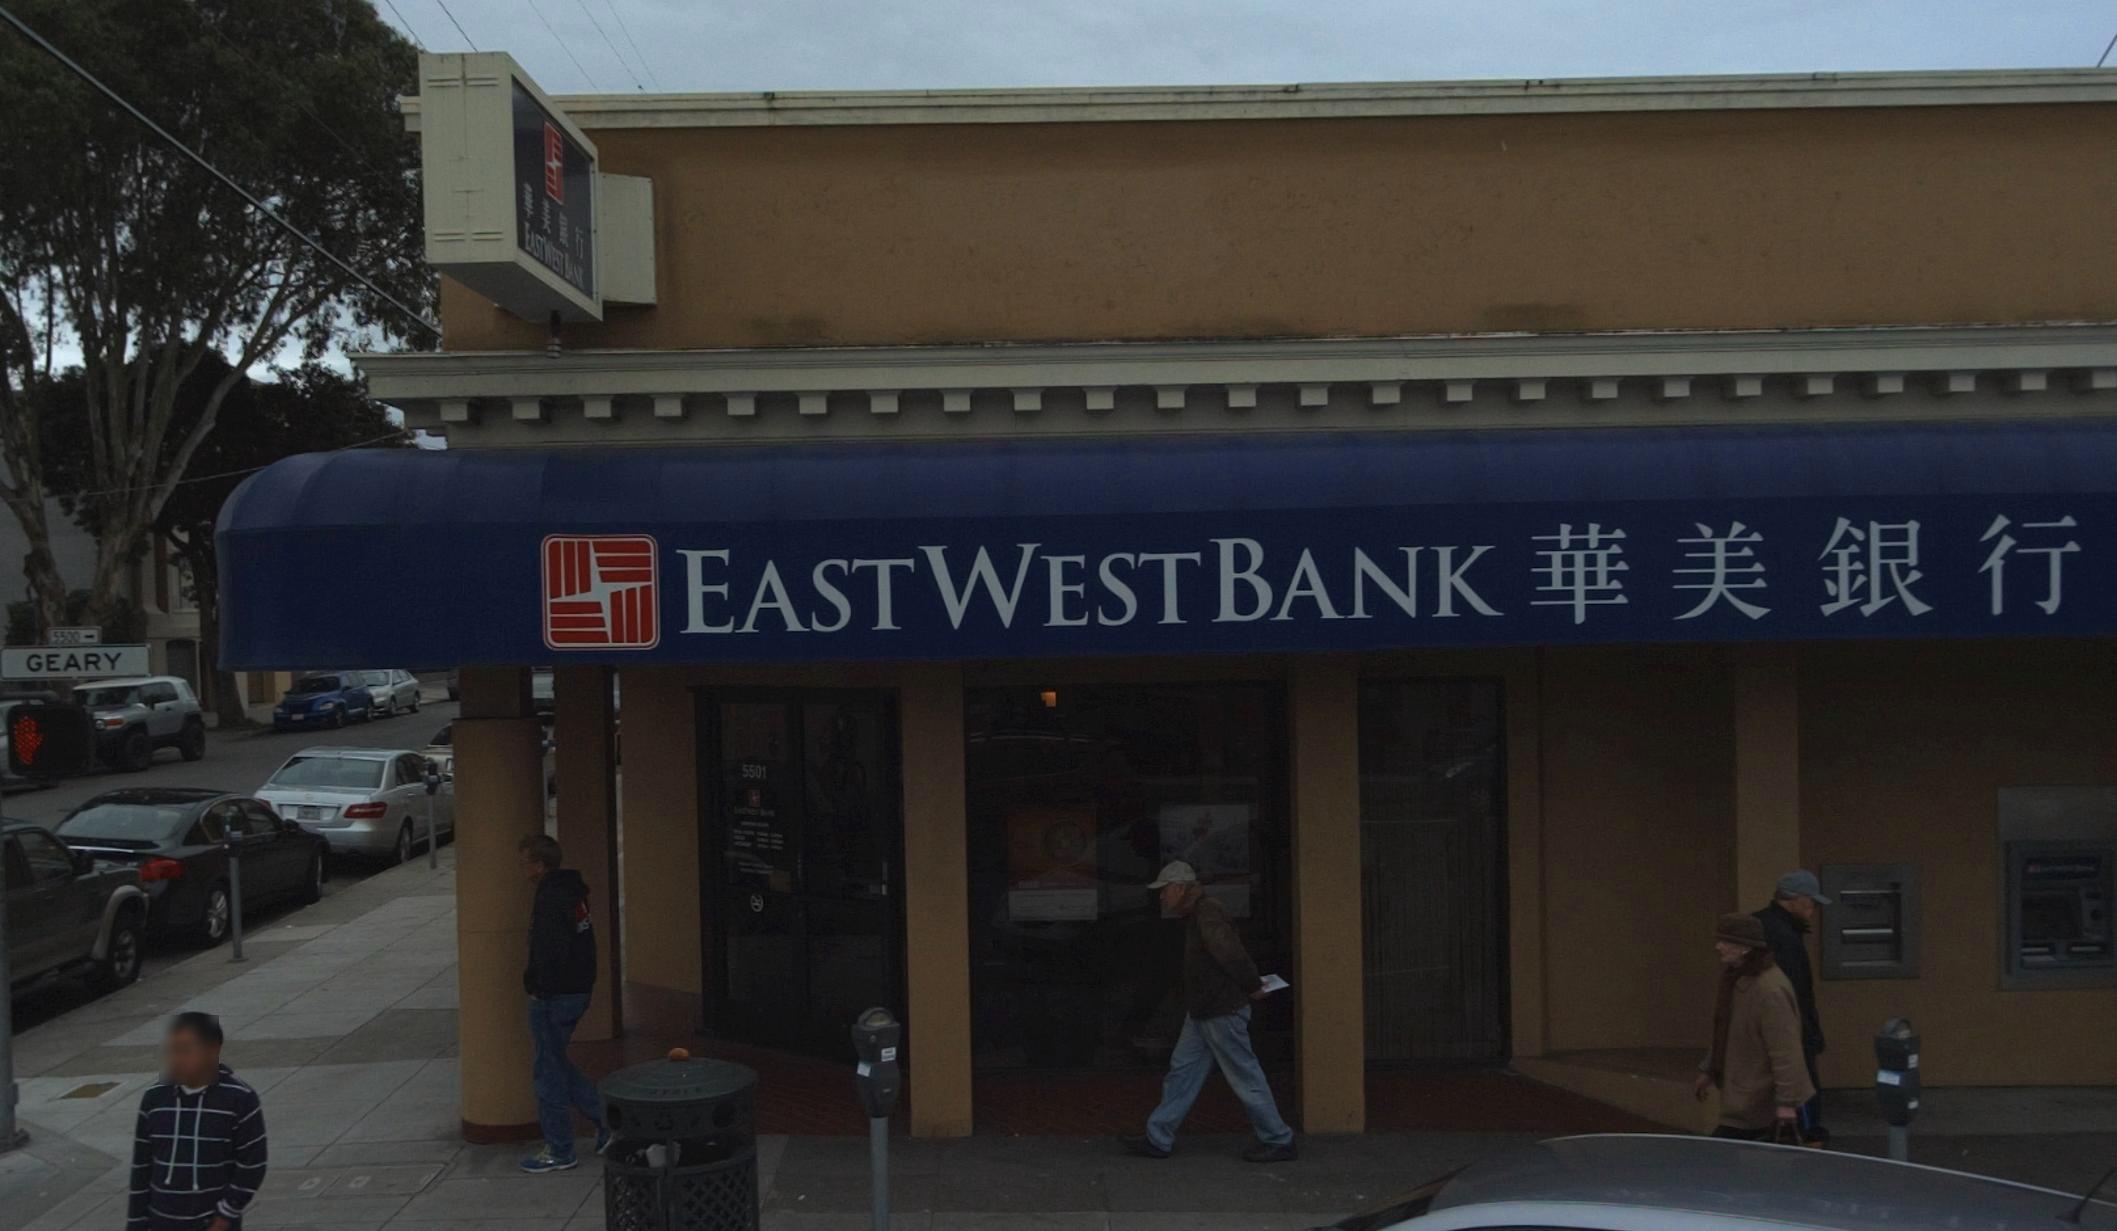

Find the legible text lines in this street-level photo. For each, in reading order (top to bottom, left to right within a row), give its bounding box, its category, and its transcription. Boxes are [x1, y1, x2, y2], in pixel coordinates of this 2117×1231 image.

[670, 532, 1513, 641] BusinessName: EAST WEST BANK
[51, 628, 98, 646] StreetNumberRange: 5500->
[22, 649, 125, 676] StreetName: GEARY
[739, 761, 769, 782] StreetNumber: 5501